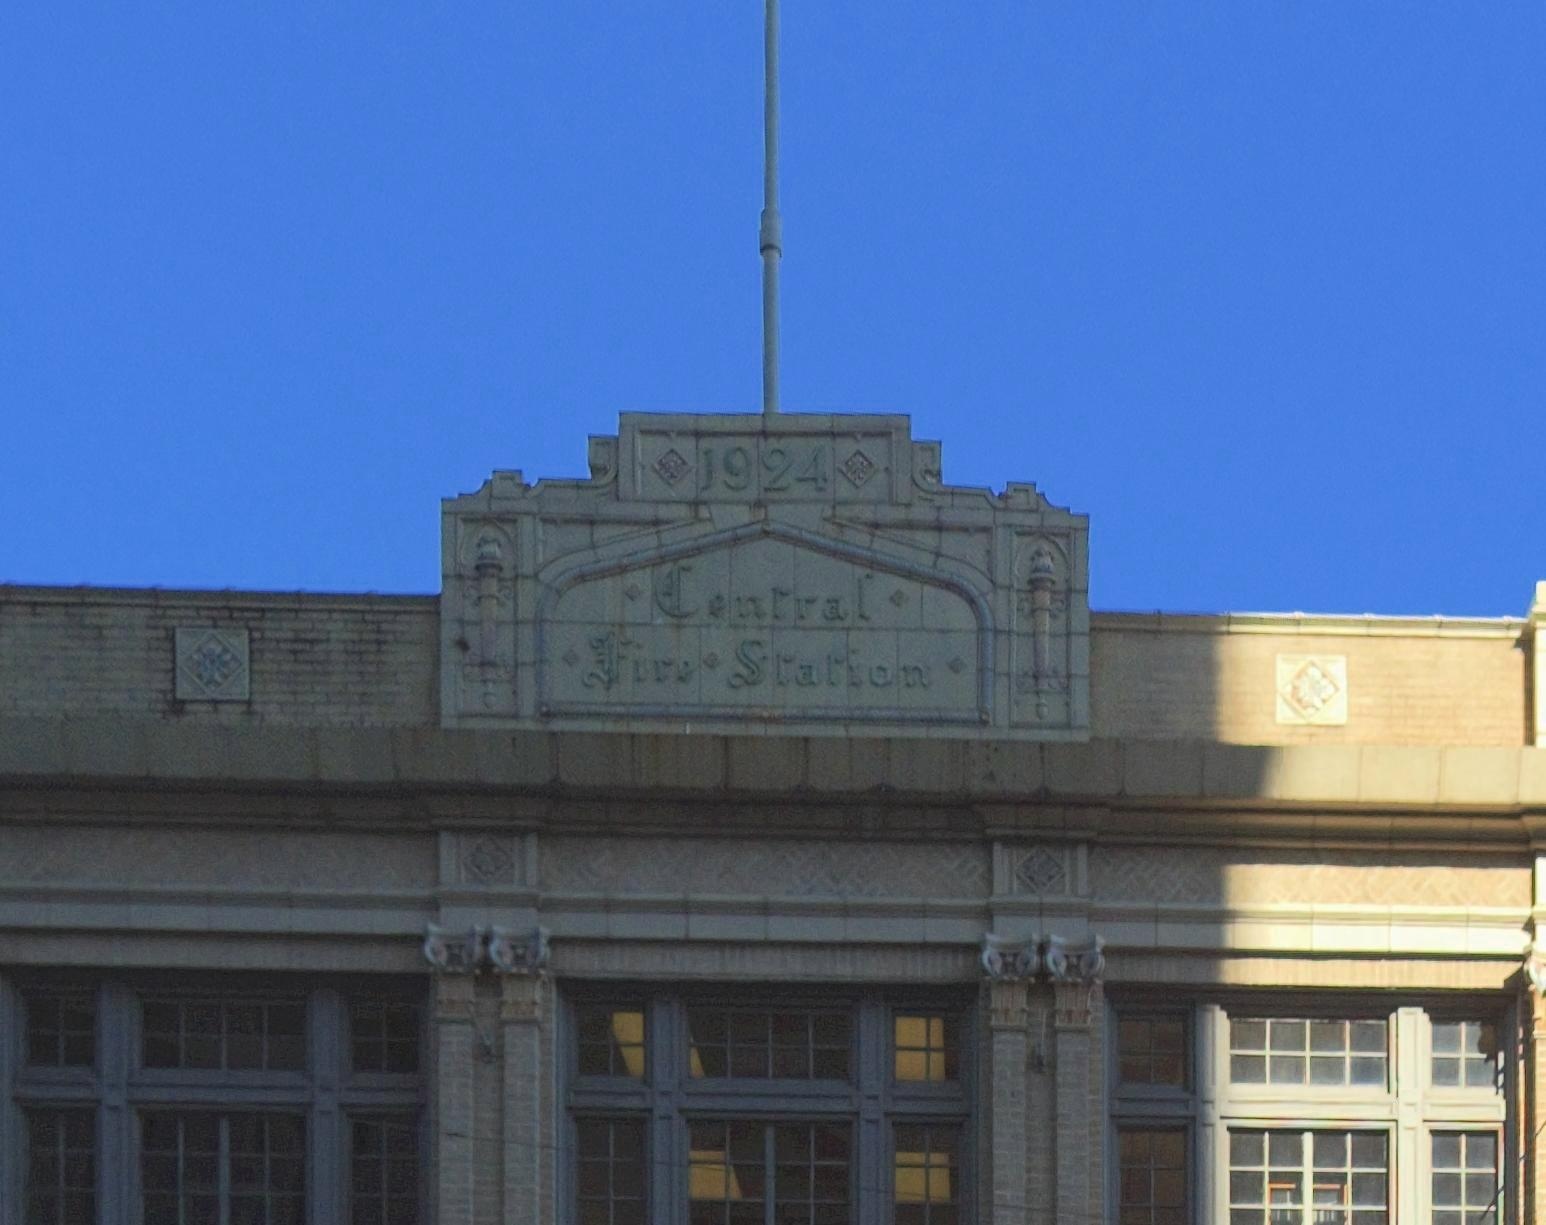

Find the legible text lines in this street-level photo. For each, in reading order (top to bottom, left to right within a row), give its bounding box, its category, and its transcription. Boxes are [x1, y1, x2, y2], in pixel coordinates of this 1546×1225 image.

[696, 439, 833, 498] None: 1924
[650, 558, 877, 628] BusinessName: Central
[603, 628, 935, 693] BusinessName: Fire * Station